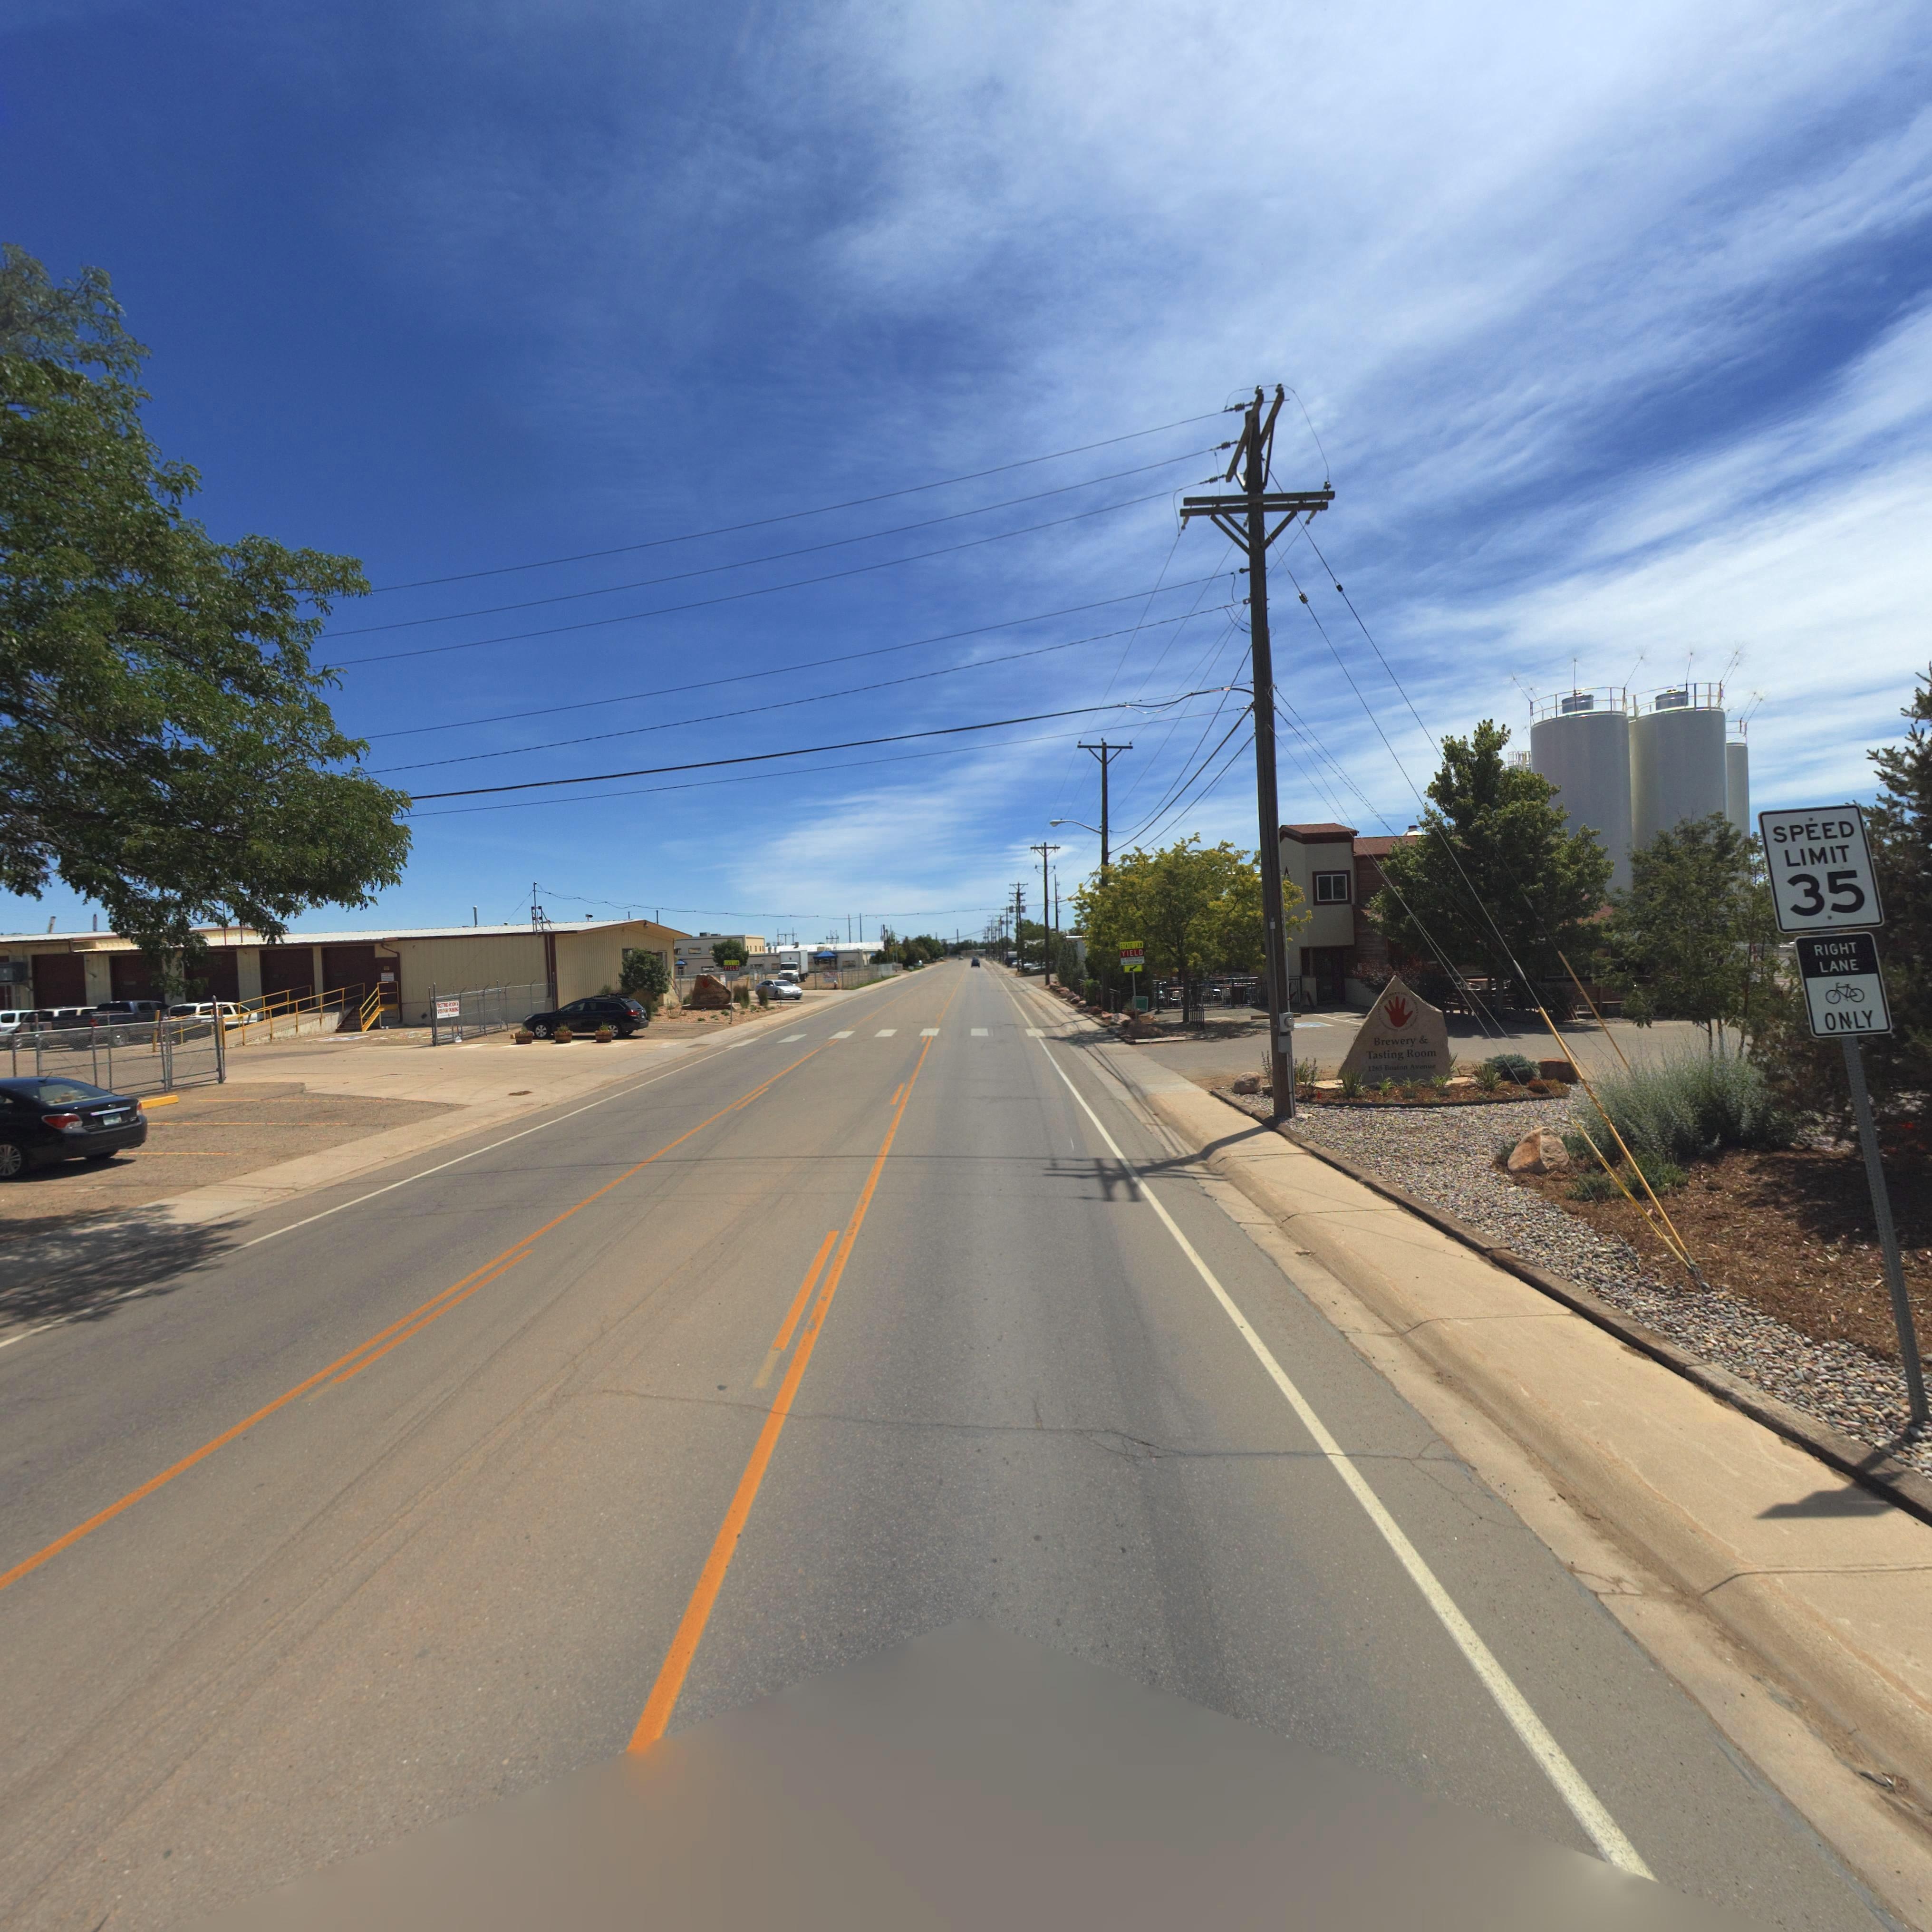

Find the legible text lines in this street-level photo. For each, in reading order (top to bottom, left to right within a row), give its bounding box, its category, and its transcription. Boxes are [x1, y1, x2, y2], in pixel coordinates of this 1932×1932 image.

[1368, 1065, 1383, 1071] StreetNumber: 1265
[1384, 1064, 1436, 1071] StreetName: Boston Avenue